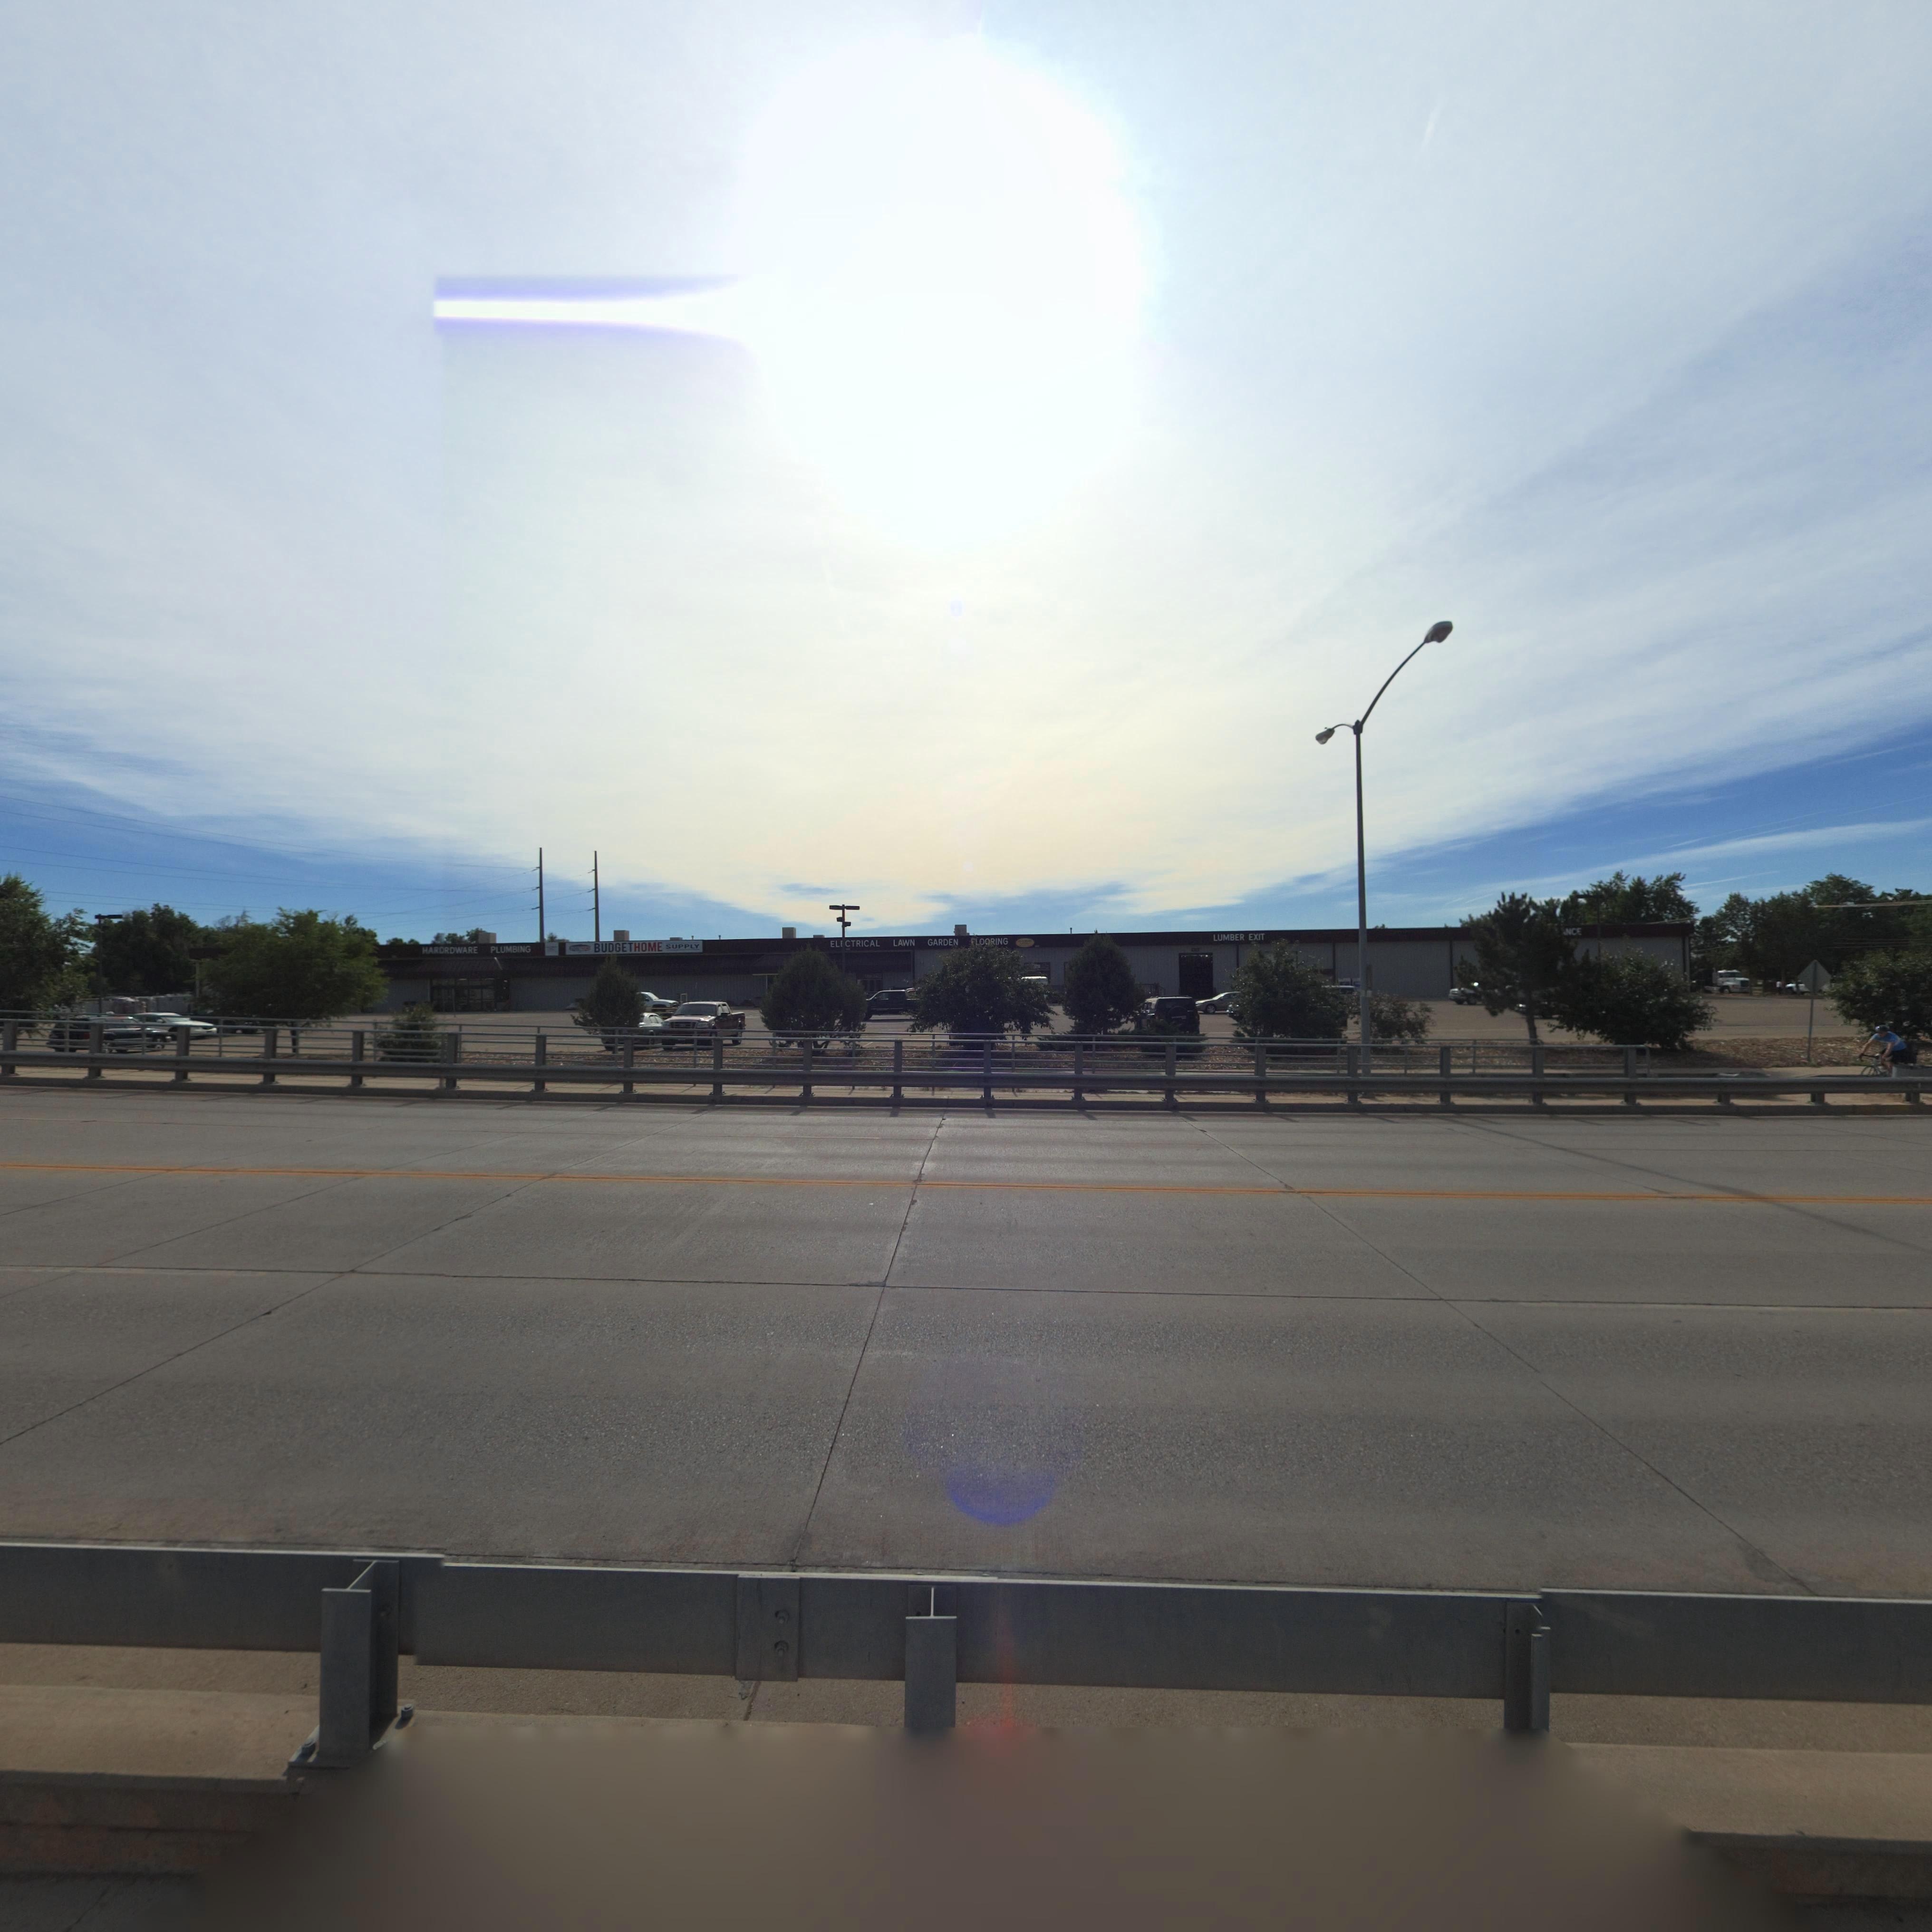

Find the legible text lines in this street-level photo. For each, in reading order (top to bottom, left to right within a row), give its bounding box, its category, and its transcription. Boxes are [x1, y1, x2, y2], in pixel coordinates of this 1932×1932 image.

[594, 942, 662, 952] BusinessName: BUDGETHOME
[665, 944, 699, 949] BusinessName: SUPPLY